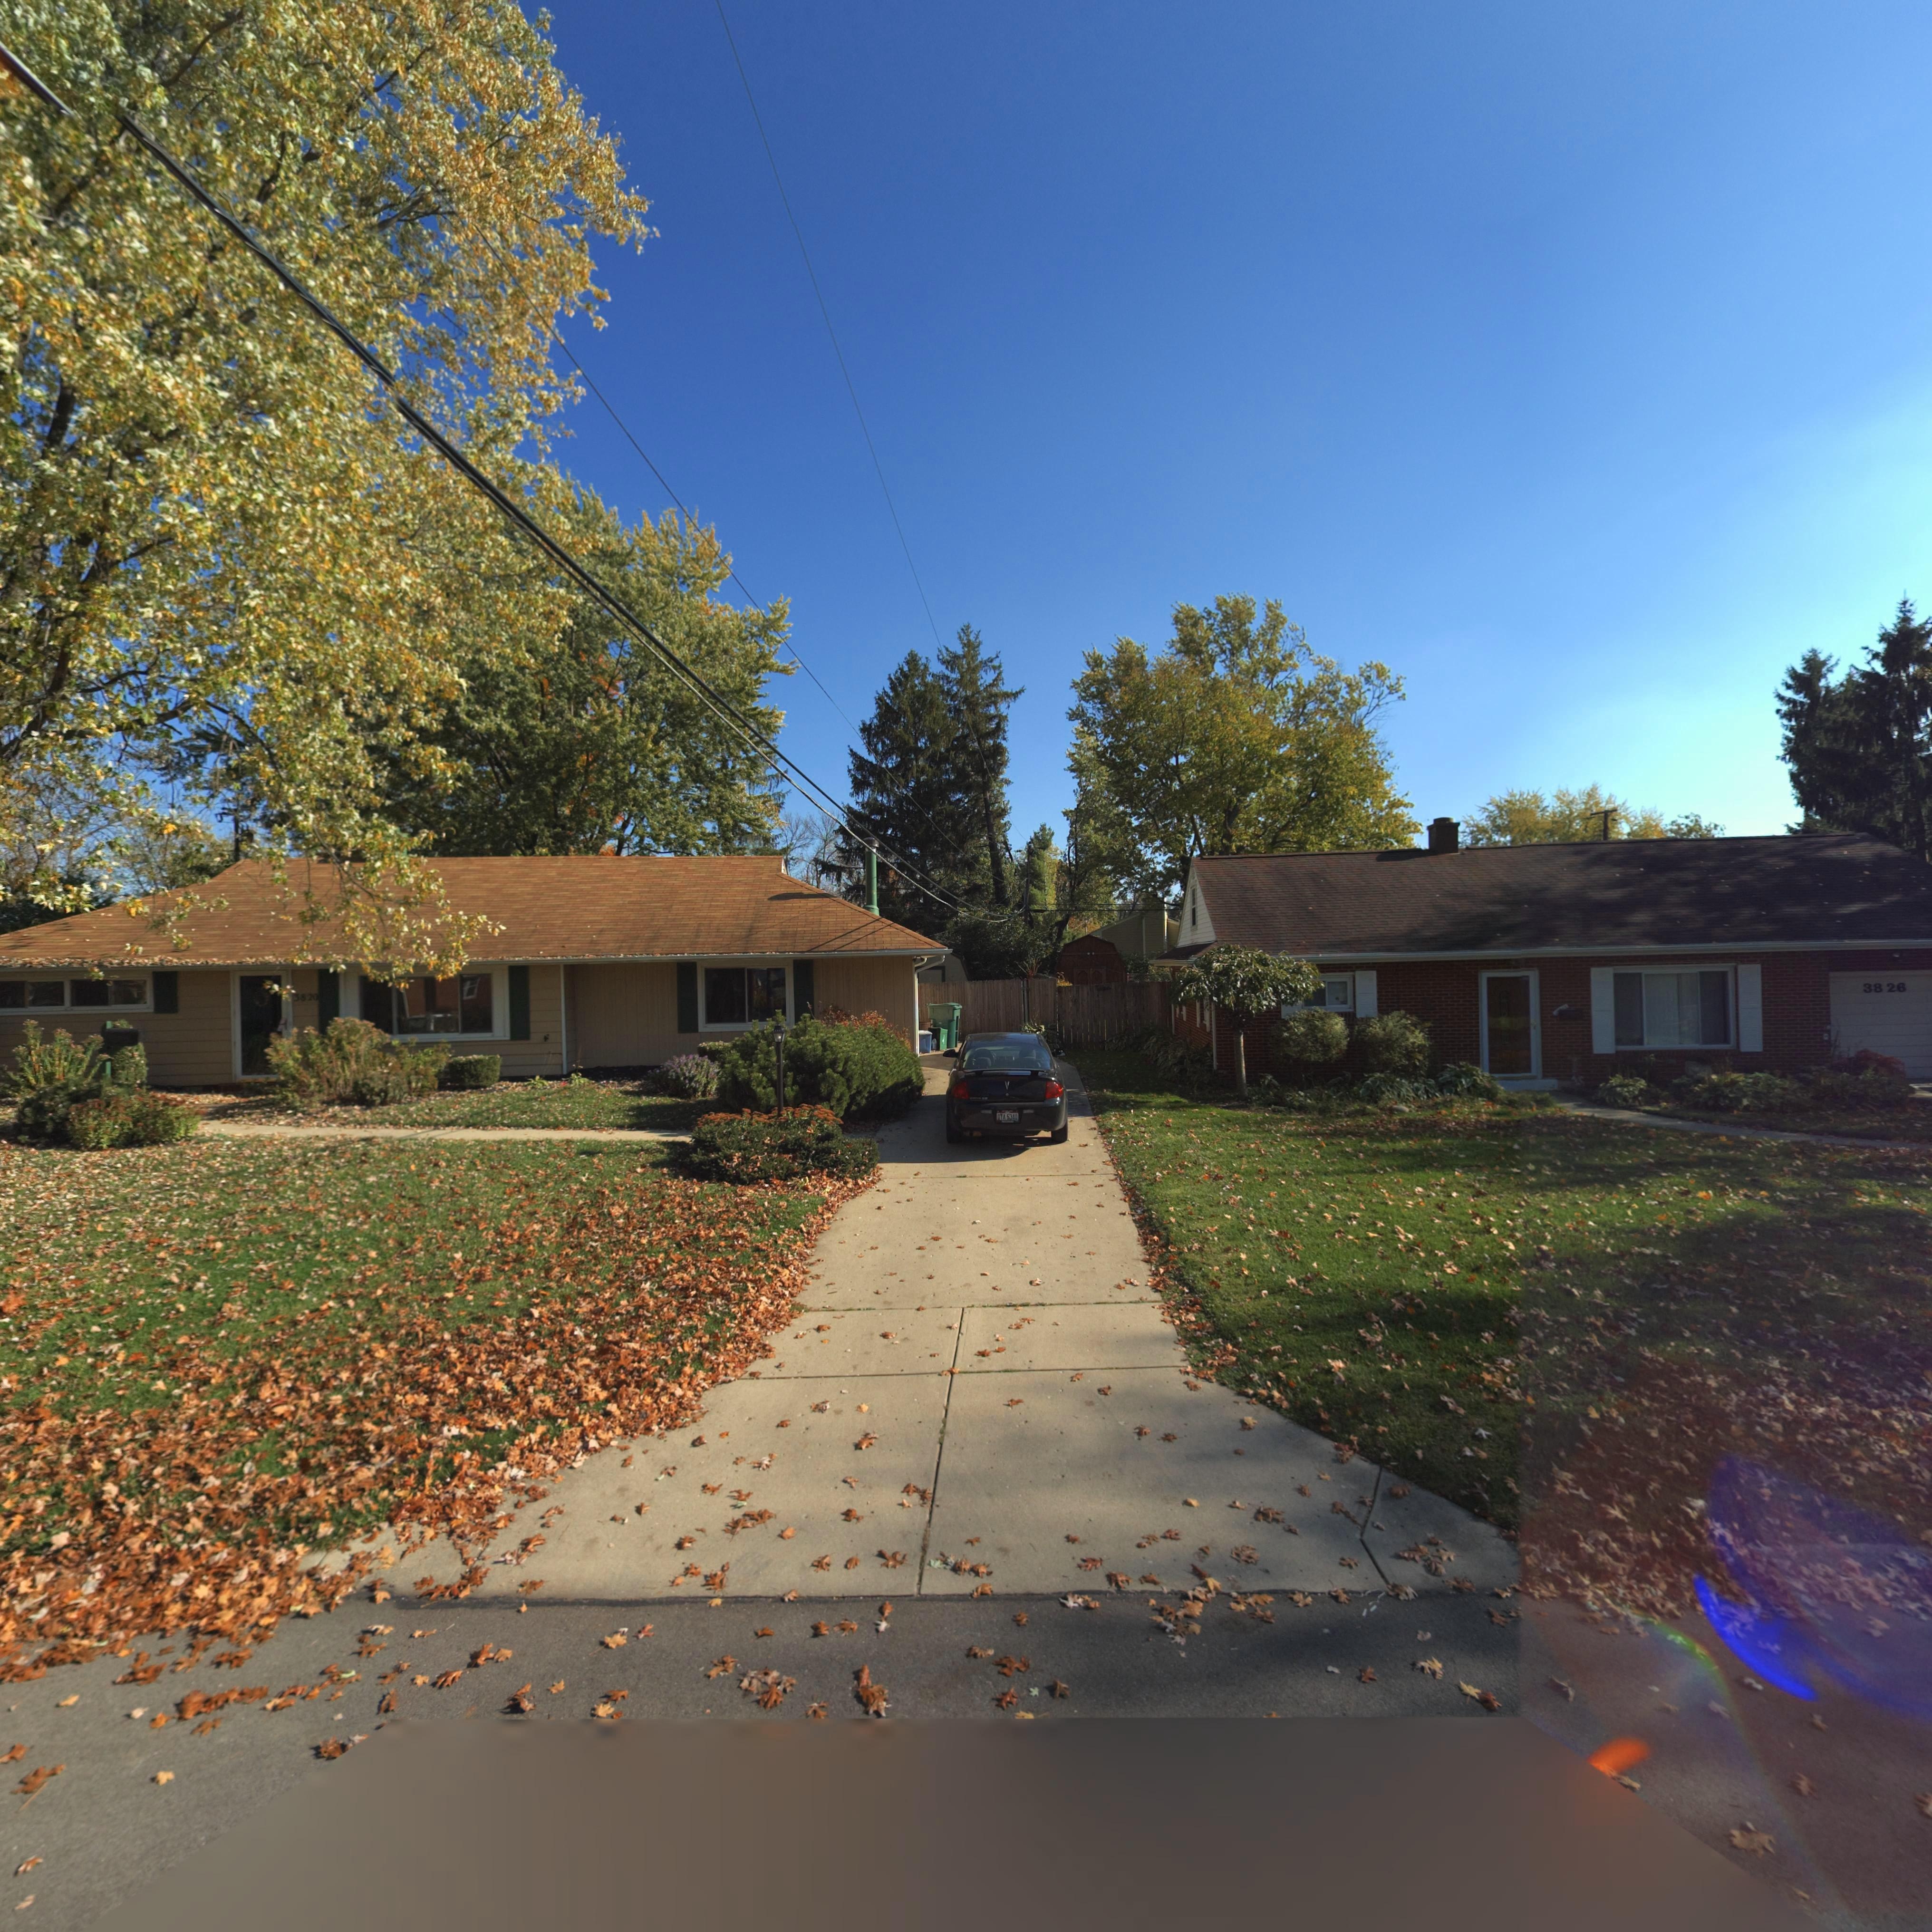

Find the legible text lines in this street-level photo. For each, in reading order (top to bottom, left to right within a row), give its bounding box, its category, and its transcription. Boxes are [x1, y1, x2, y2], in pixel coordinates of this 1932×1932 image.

[1862, 982, 1907, 994] StreetNumber: 3826
[292, 992, 320, 1003] StreetNumber: 3820
[996, 1113, 1019, 1121] None: DTA 5340